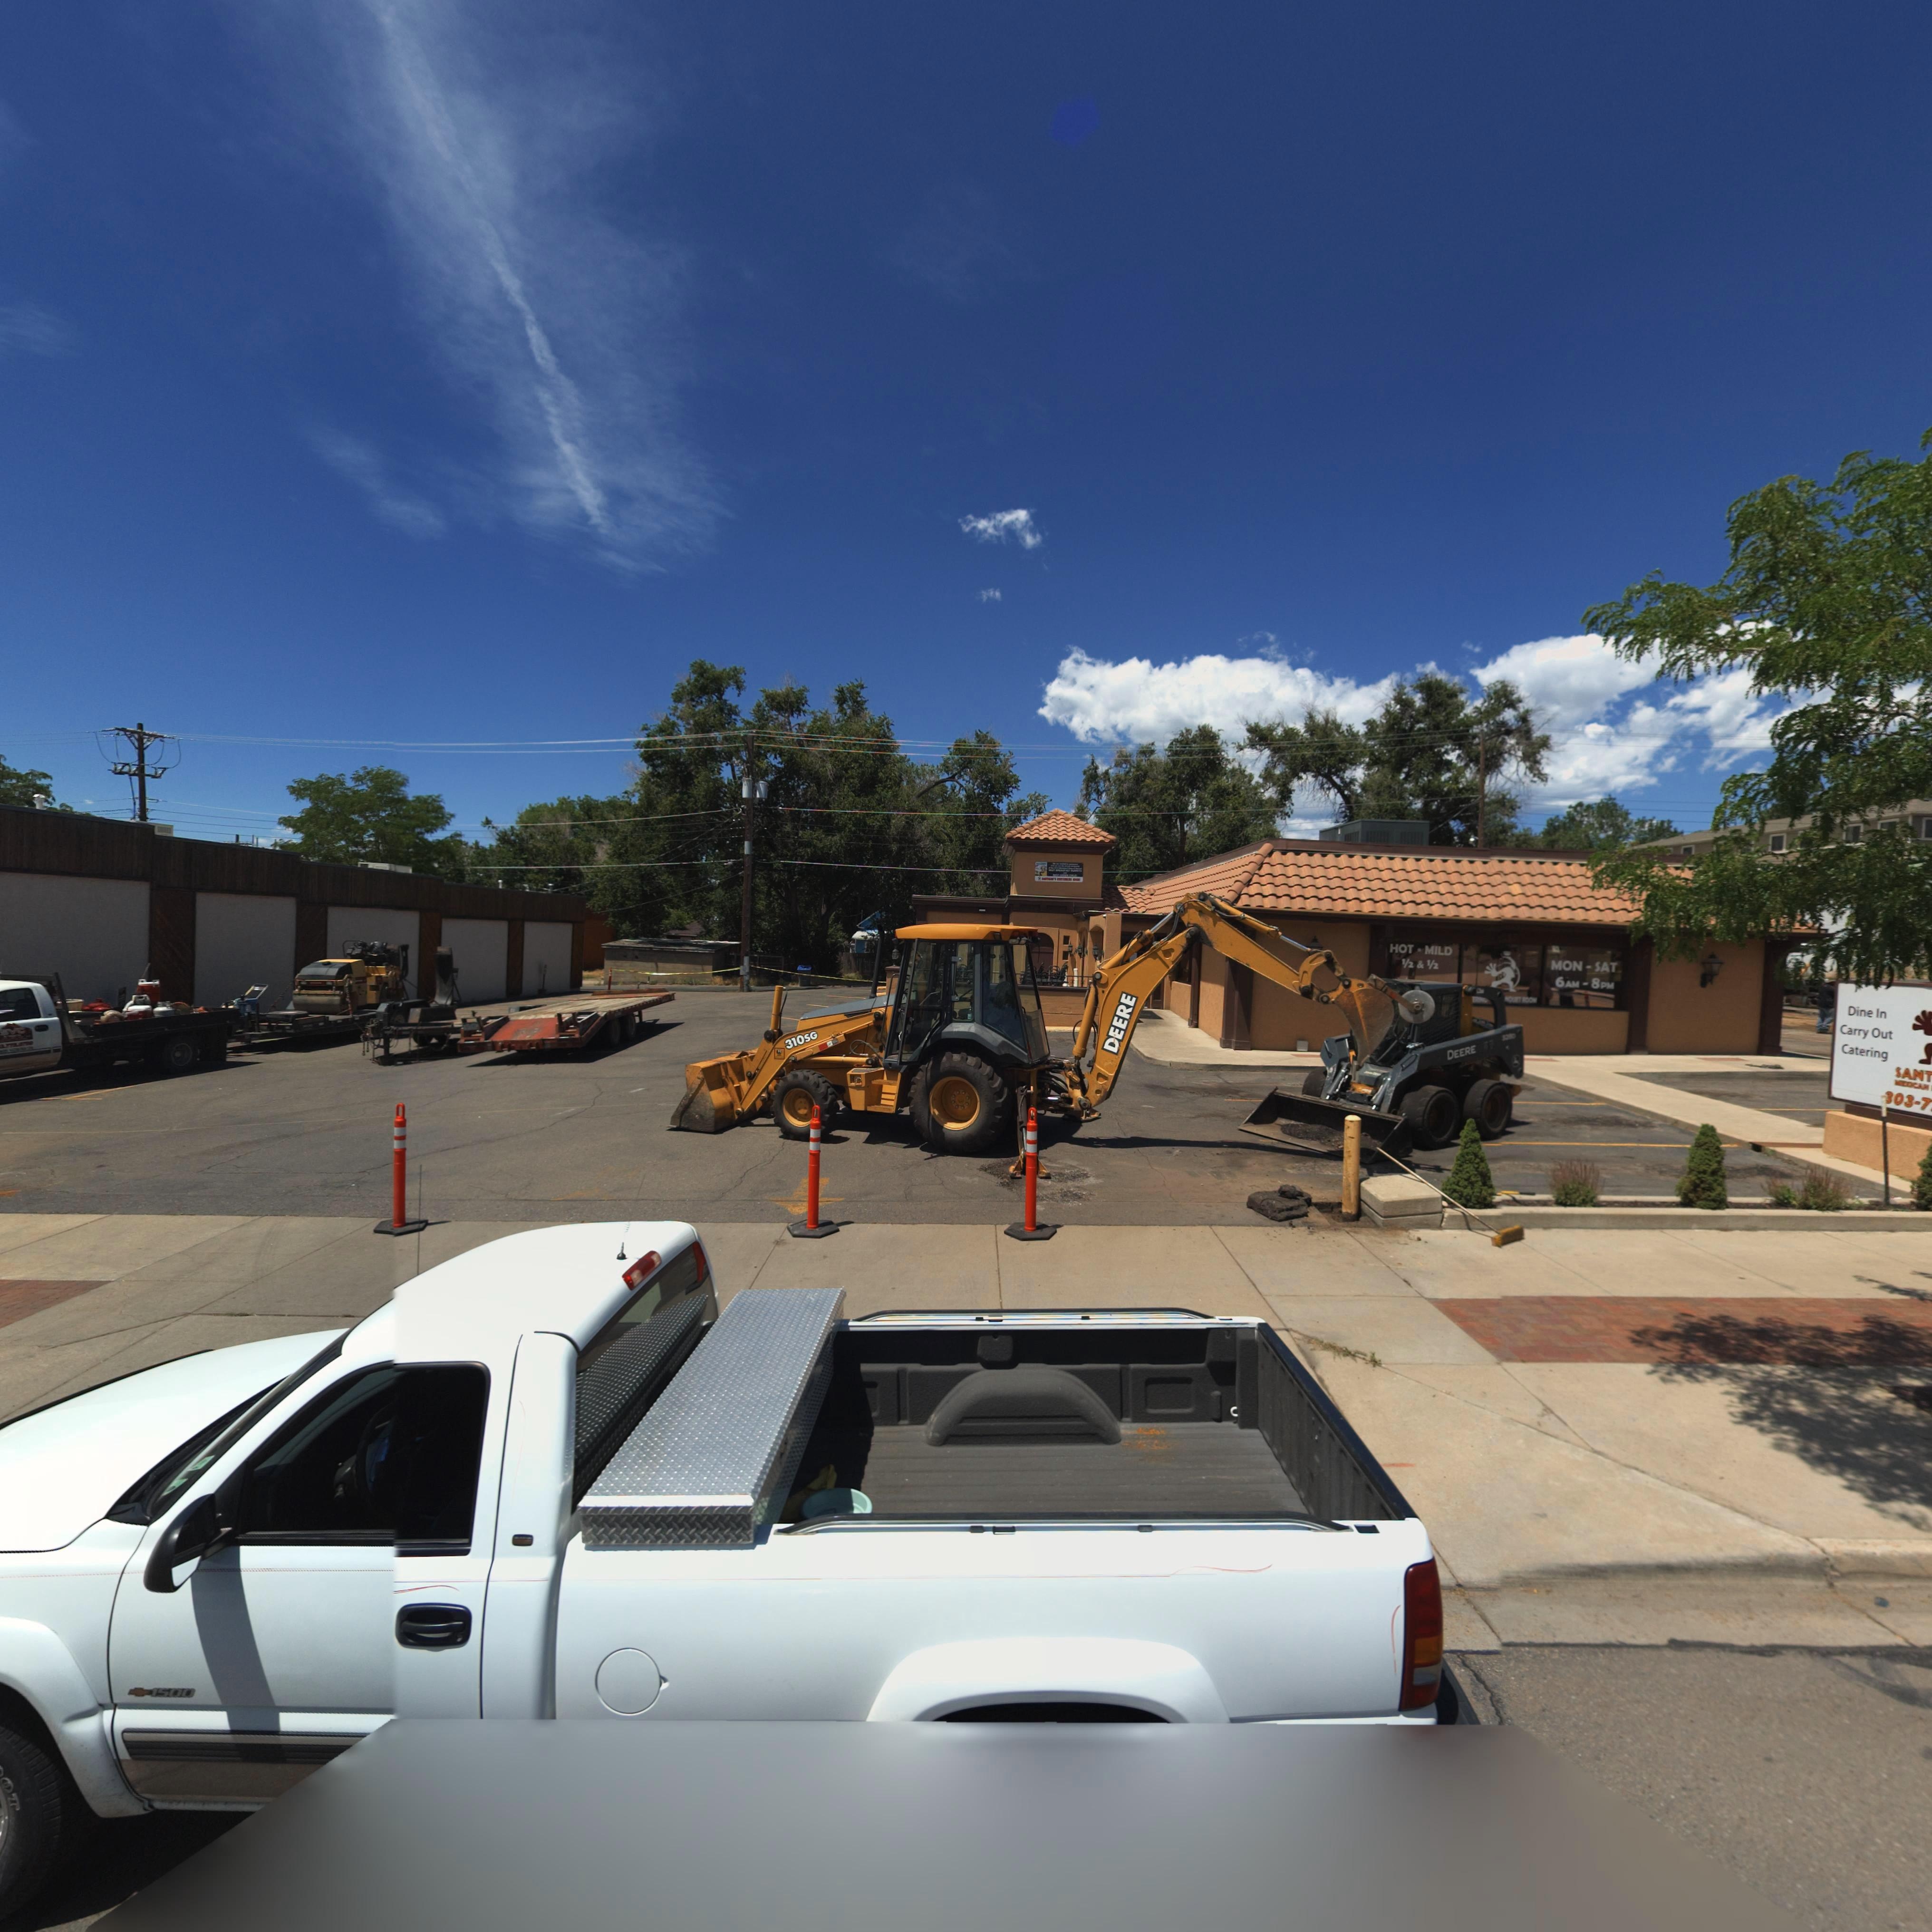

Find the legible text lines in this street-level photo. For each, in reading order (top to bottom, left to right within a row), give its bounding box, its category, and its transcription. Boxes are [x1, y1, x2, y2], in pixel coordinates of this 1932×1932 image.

[1894, 1066, 1932, 1083] BusinessName: SANT